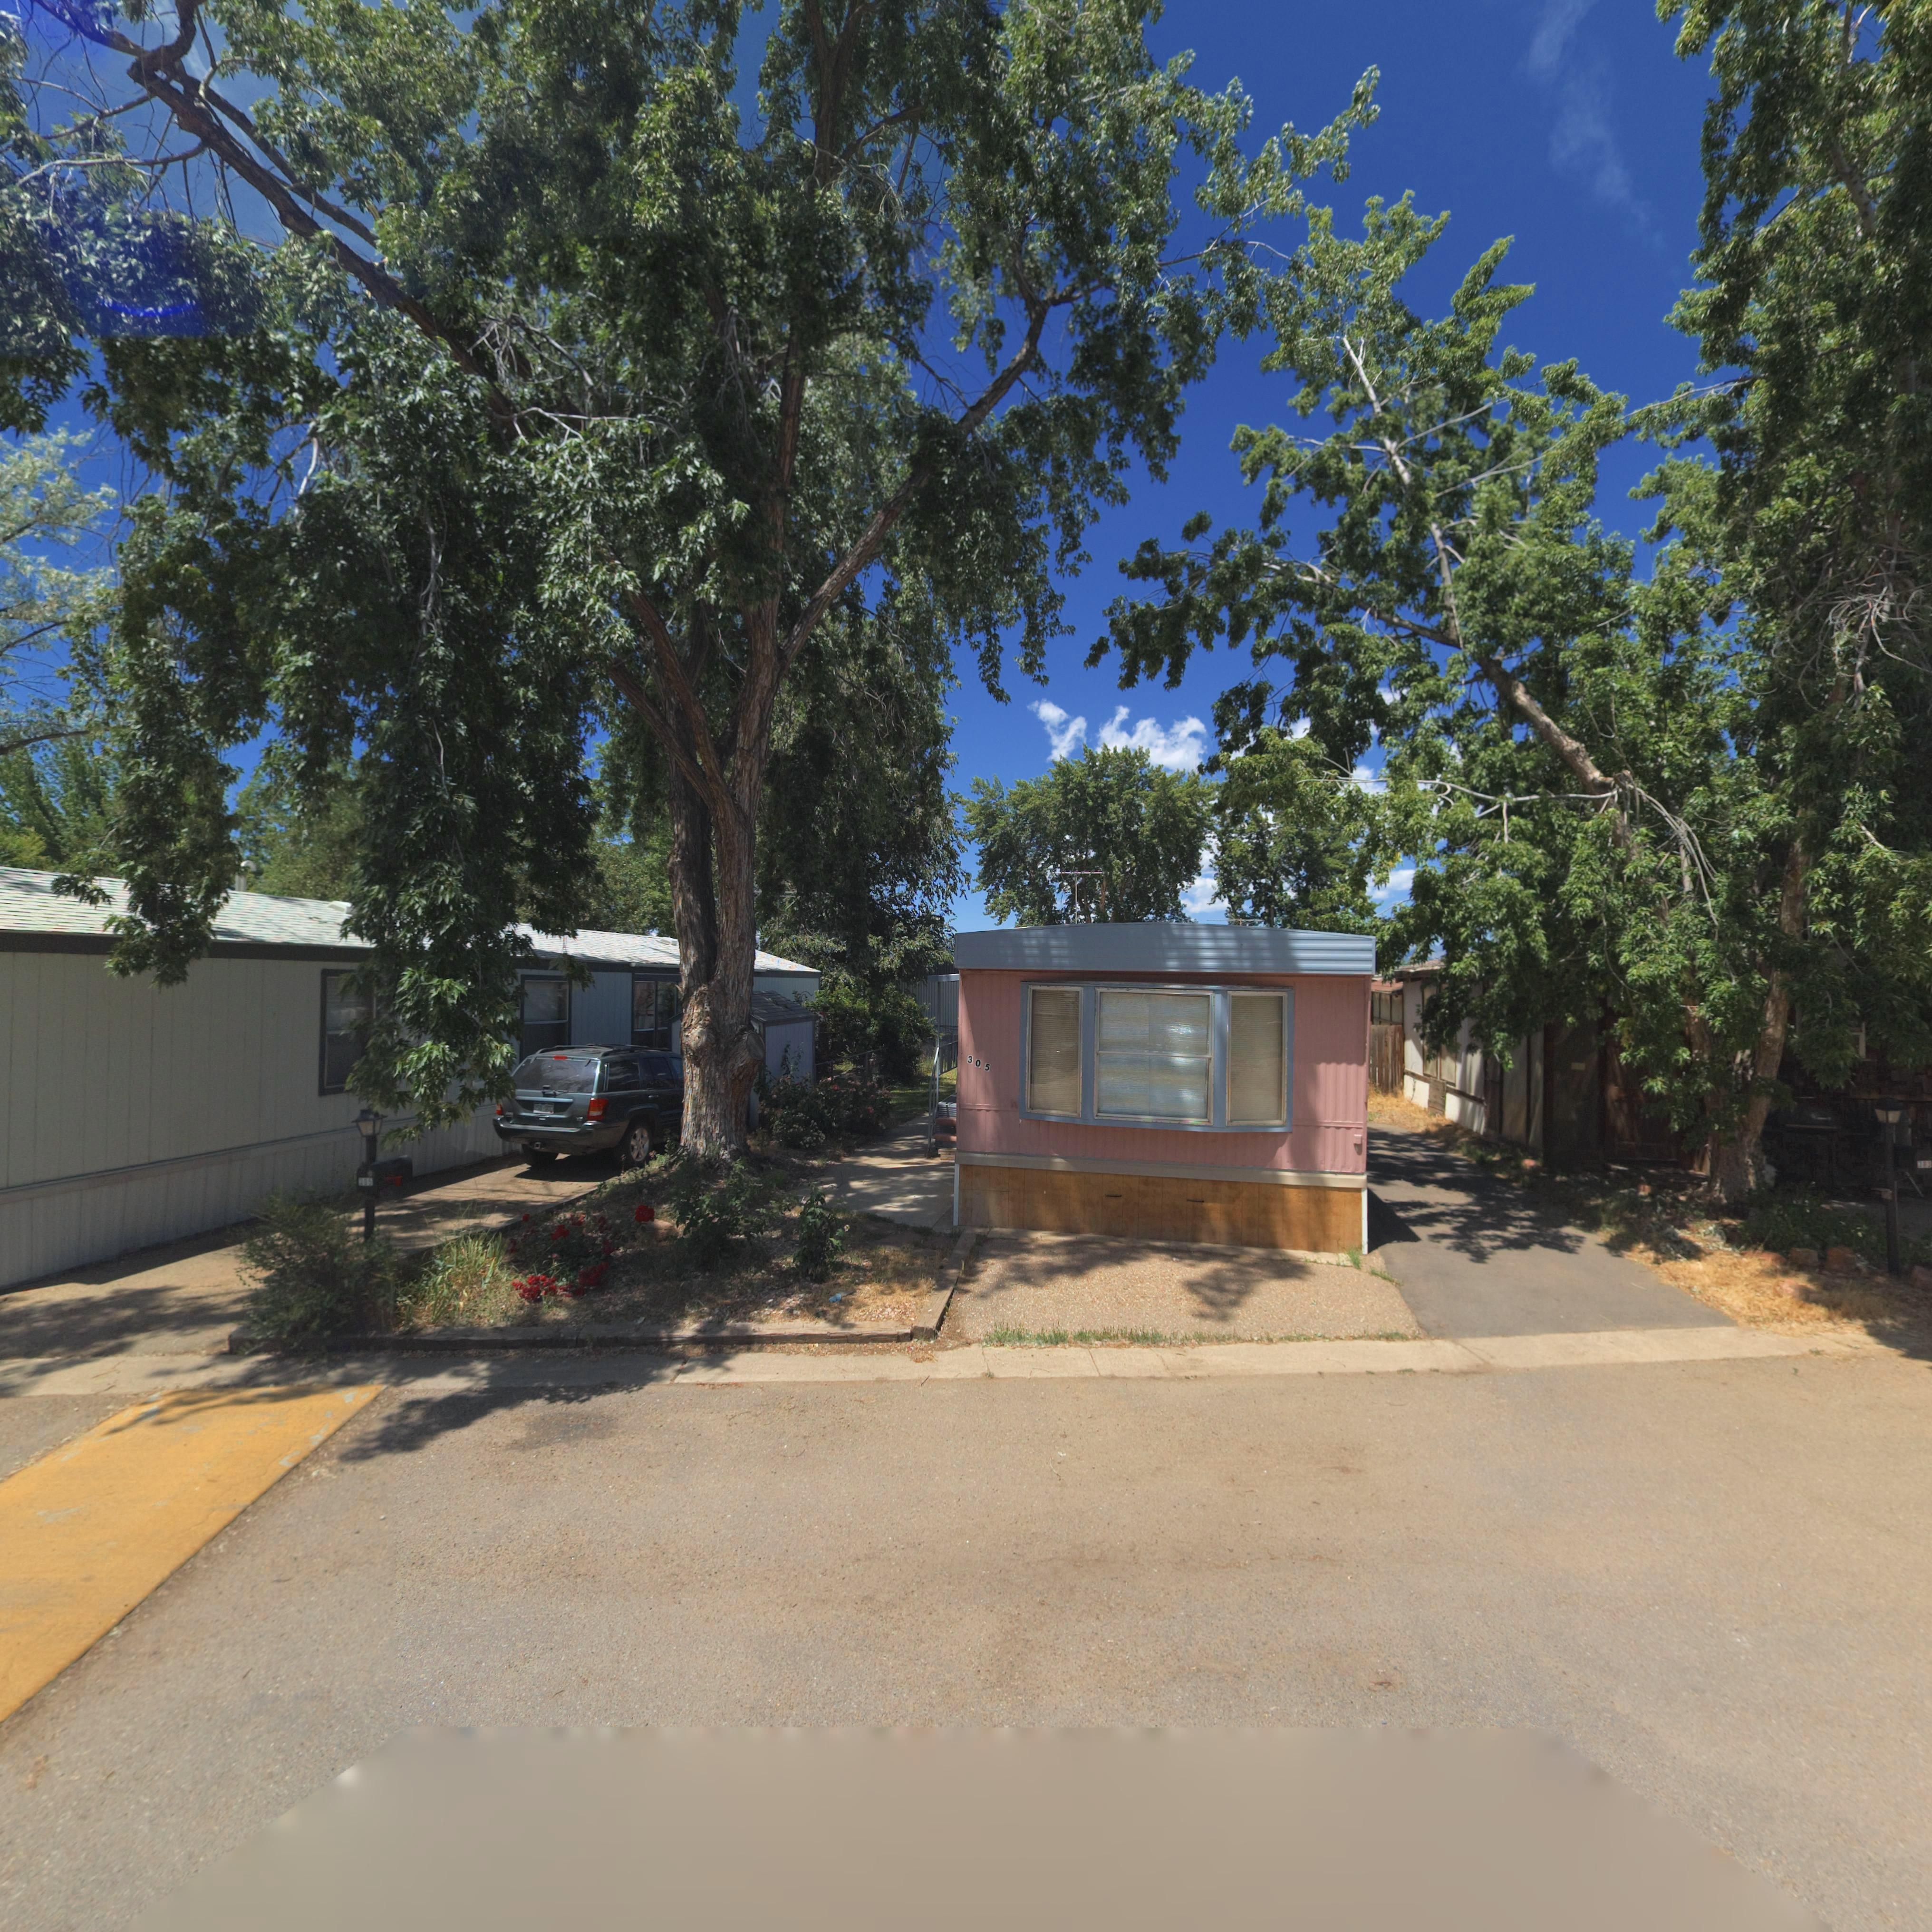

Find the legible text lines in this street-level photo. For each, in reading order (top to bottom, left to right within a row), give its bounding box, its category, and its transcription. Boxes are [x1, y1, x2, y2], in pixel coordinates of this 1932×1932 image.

[967, 1055, 990, 1071] StreetNumber: 305
[1918, 1160, 1931, 1168] StreetNumber: 1*3
[359, 1178, 372, 1185] StreetNumber: *05